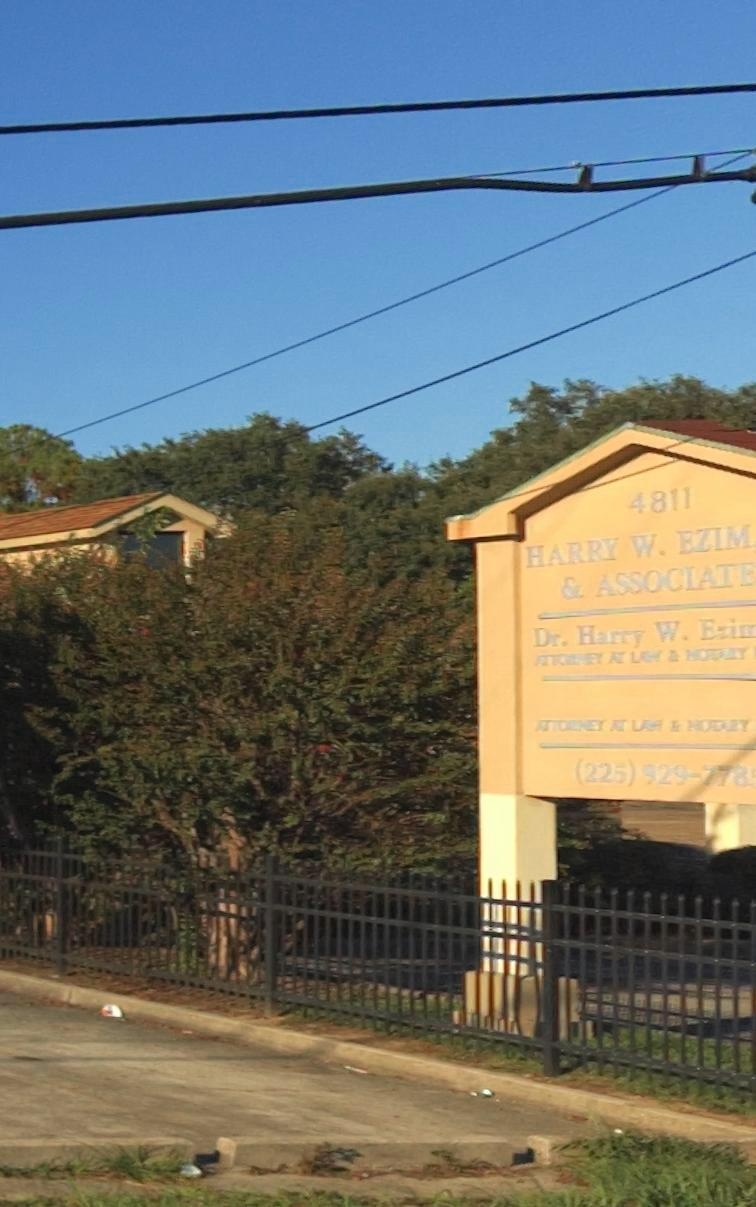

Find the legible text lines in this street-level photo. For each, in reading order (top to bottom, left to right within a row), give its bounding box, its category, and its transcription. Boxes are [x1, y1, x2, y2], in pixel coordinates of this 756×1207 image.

[627, 483, 693, 518] StreetNumber: 4811
[523, 521, 753, 570] BusinessName: HARRY W. EZIM
[560, 559, 756, 602] BusinessName: & ASSOCIATE
[530, 616, 756, 649] None: Dr. Harry W. Ezim
[531, 646, 749, 669] None: ATTORNEY AT LAW & NOTARY
[533, 717, 751, 735] None: ATTORNEY AT LAW & NOTARY
[573, 756, 752, 789] None: (225)929-778